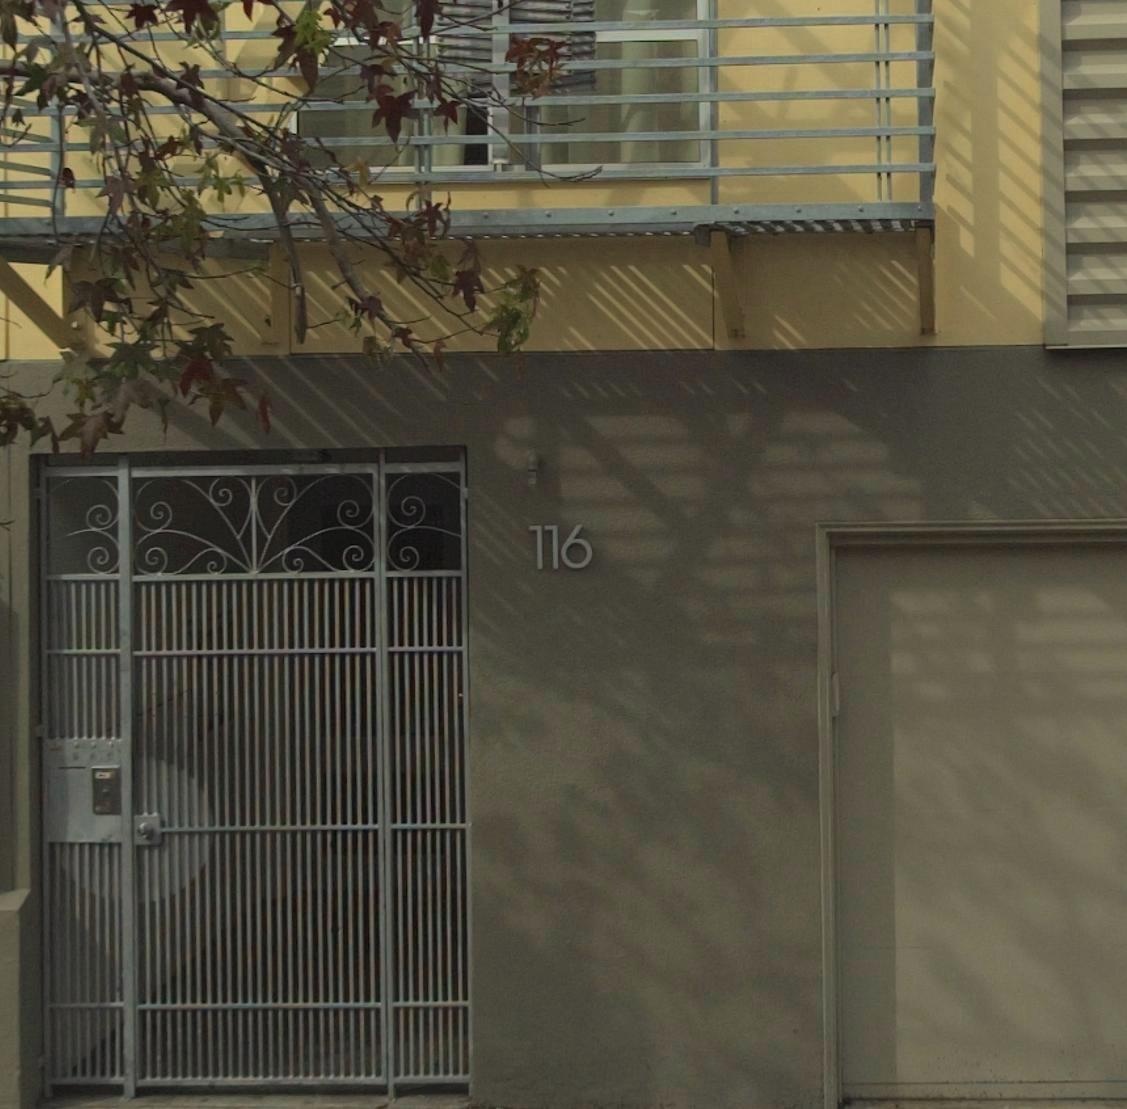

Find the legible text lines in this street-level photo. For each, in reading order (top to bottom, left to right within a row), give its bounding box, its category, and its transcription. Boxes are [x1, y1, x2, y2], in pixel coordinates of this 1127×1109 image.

[526, 523, 595, 571] StreetNumber: 116